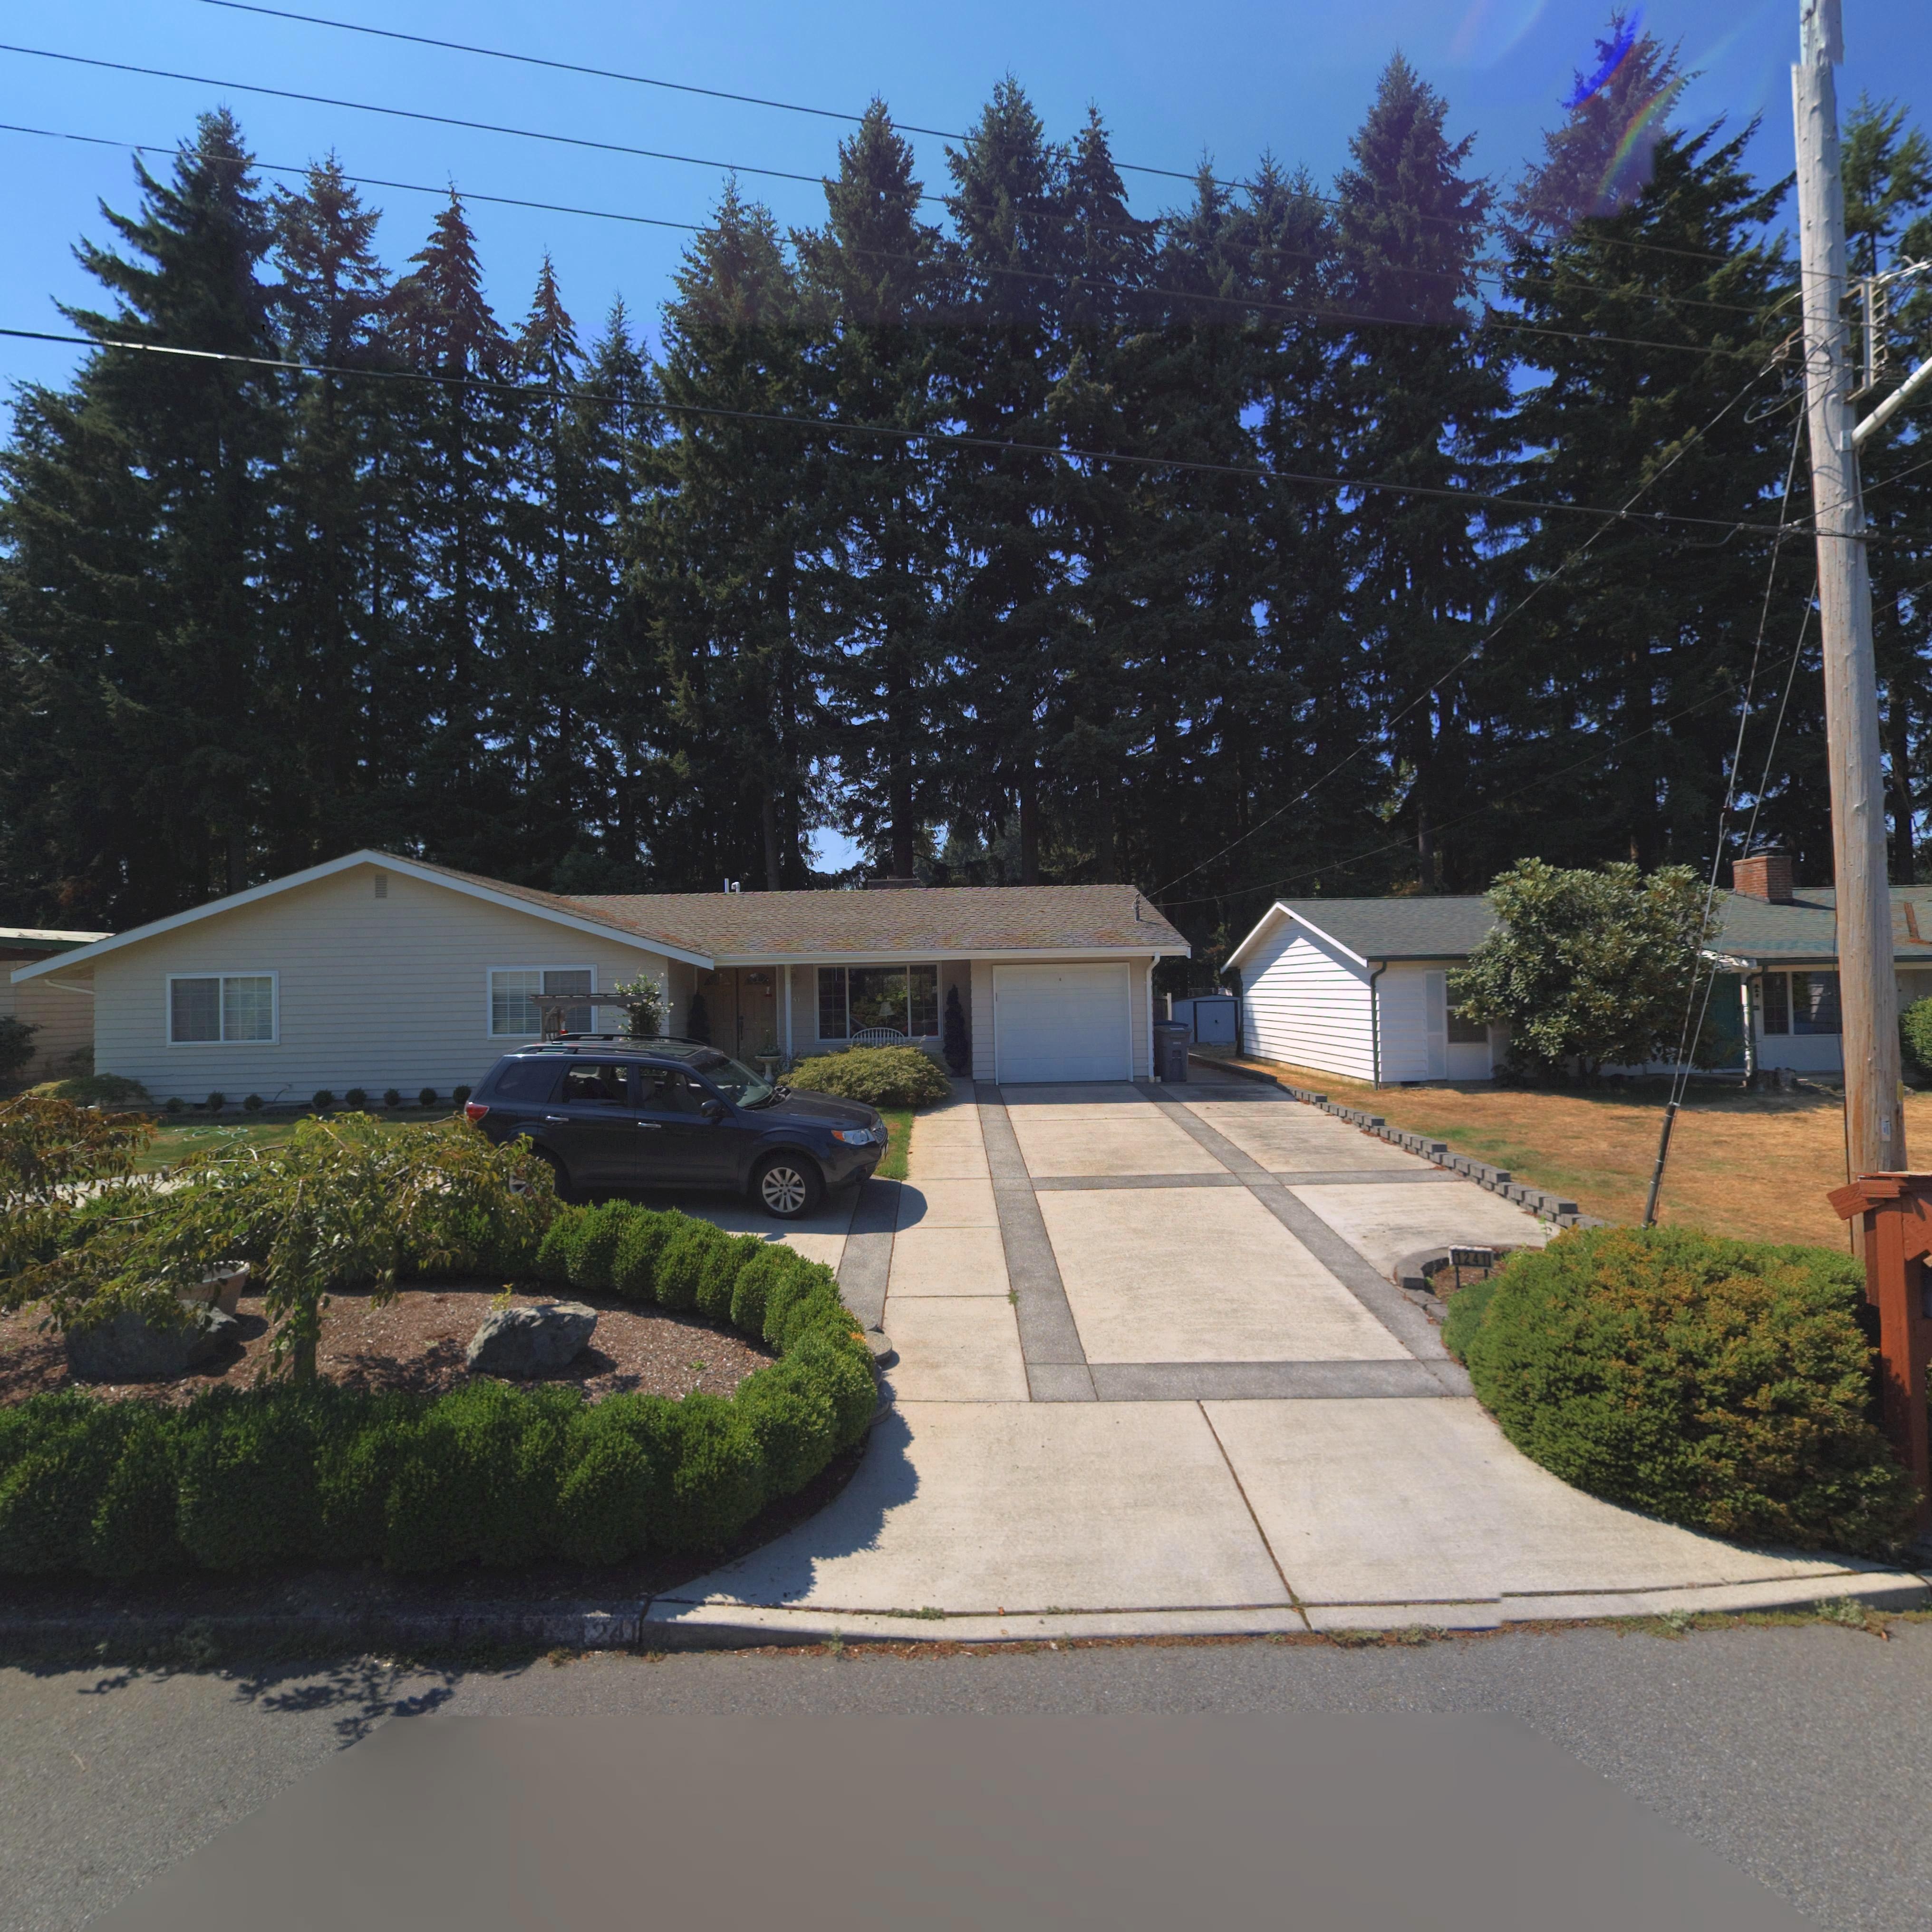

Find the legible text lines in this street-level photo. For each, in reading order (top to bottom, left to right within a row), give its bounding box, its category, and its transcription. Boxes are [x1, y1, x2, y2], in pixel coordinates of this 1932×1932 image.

[792, 996, 801, 1002] StreetNumber: 4*
[1455, 1251, 1487, 1266] StreetNumber: 1241
[592, 1618, 637, 1644] StreetNumber: 241